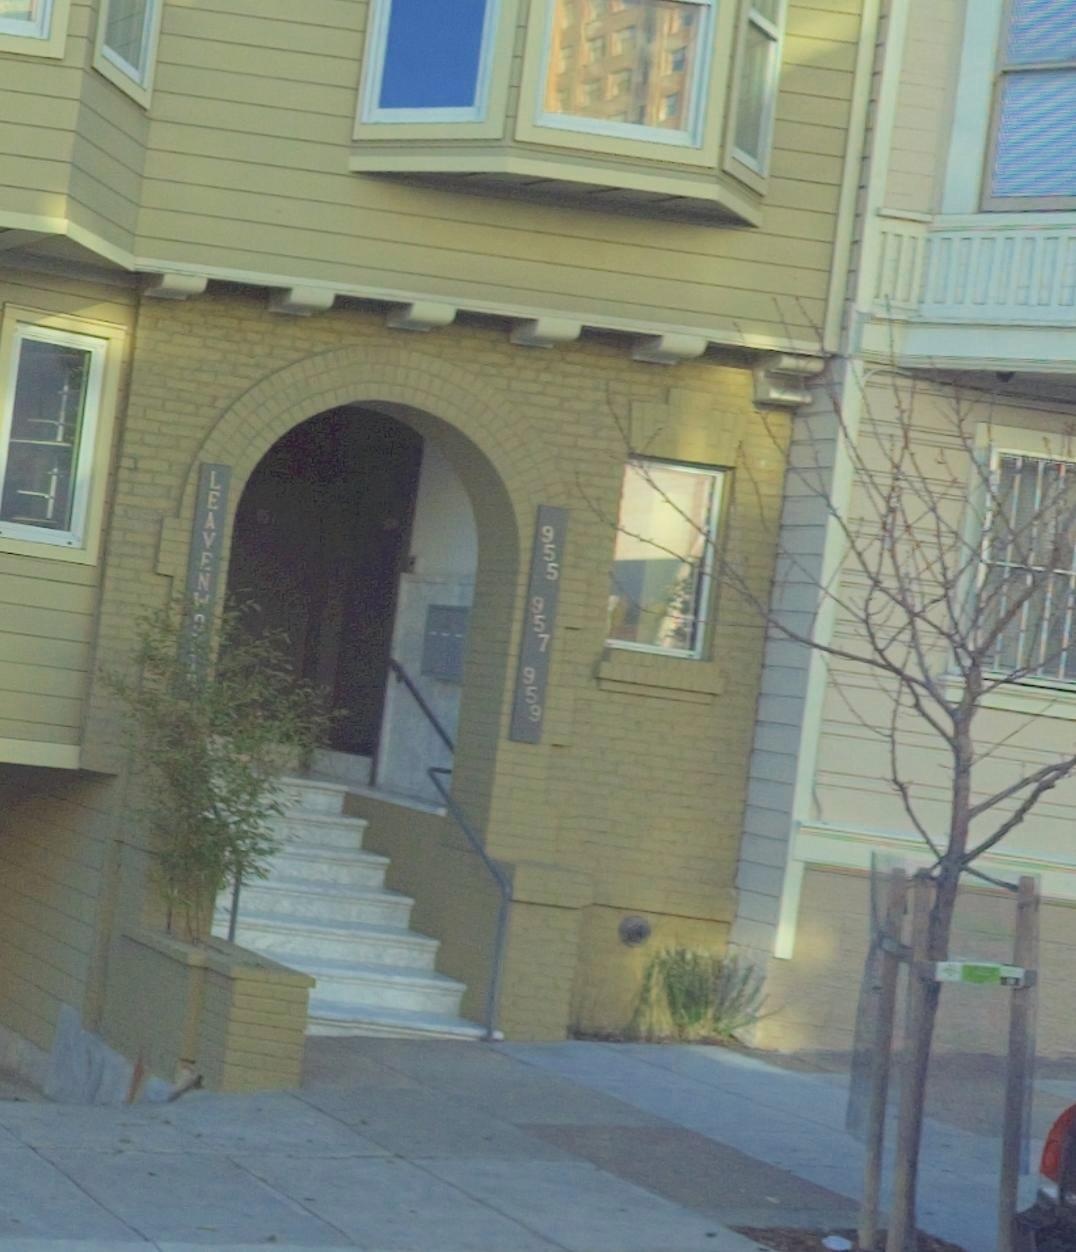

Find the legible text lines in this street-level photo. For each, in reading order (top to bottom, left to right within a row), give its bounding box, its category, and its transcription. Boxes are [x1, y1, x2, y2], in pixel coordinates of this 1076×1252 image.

[253, 506, 282, 526] StreetNumber: 957
[180, 467, 226, 693] StreetName: LEAVENW****
[539, 523, 562, 583] StreetNumber: 955
[528, 594, 554, 653] StreetNumber: 957
[521, 666, 544, 726] StreetNumber: 959